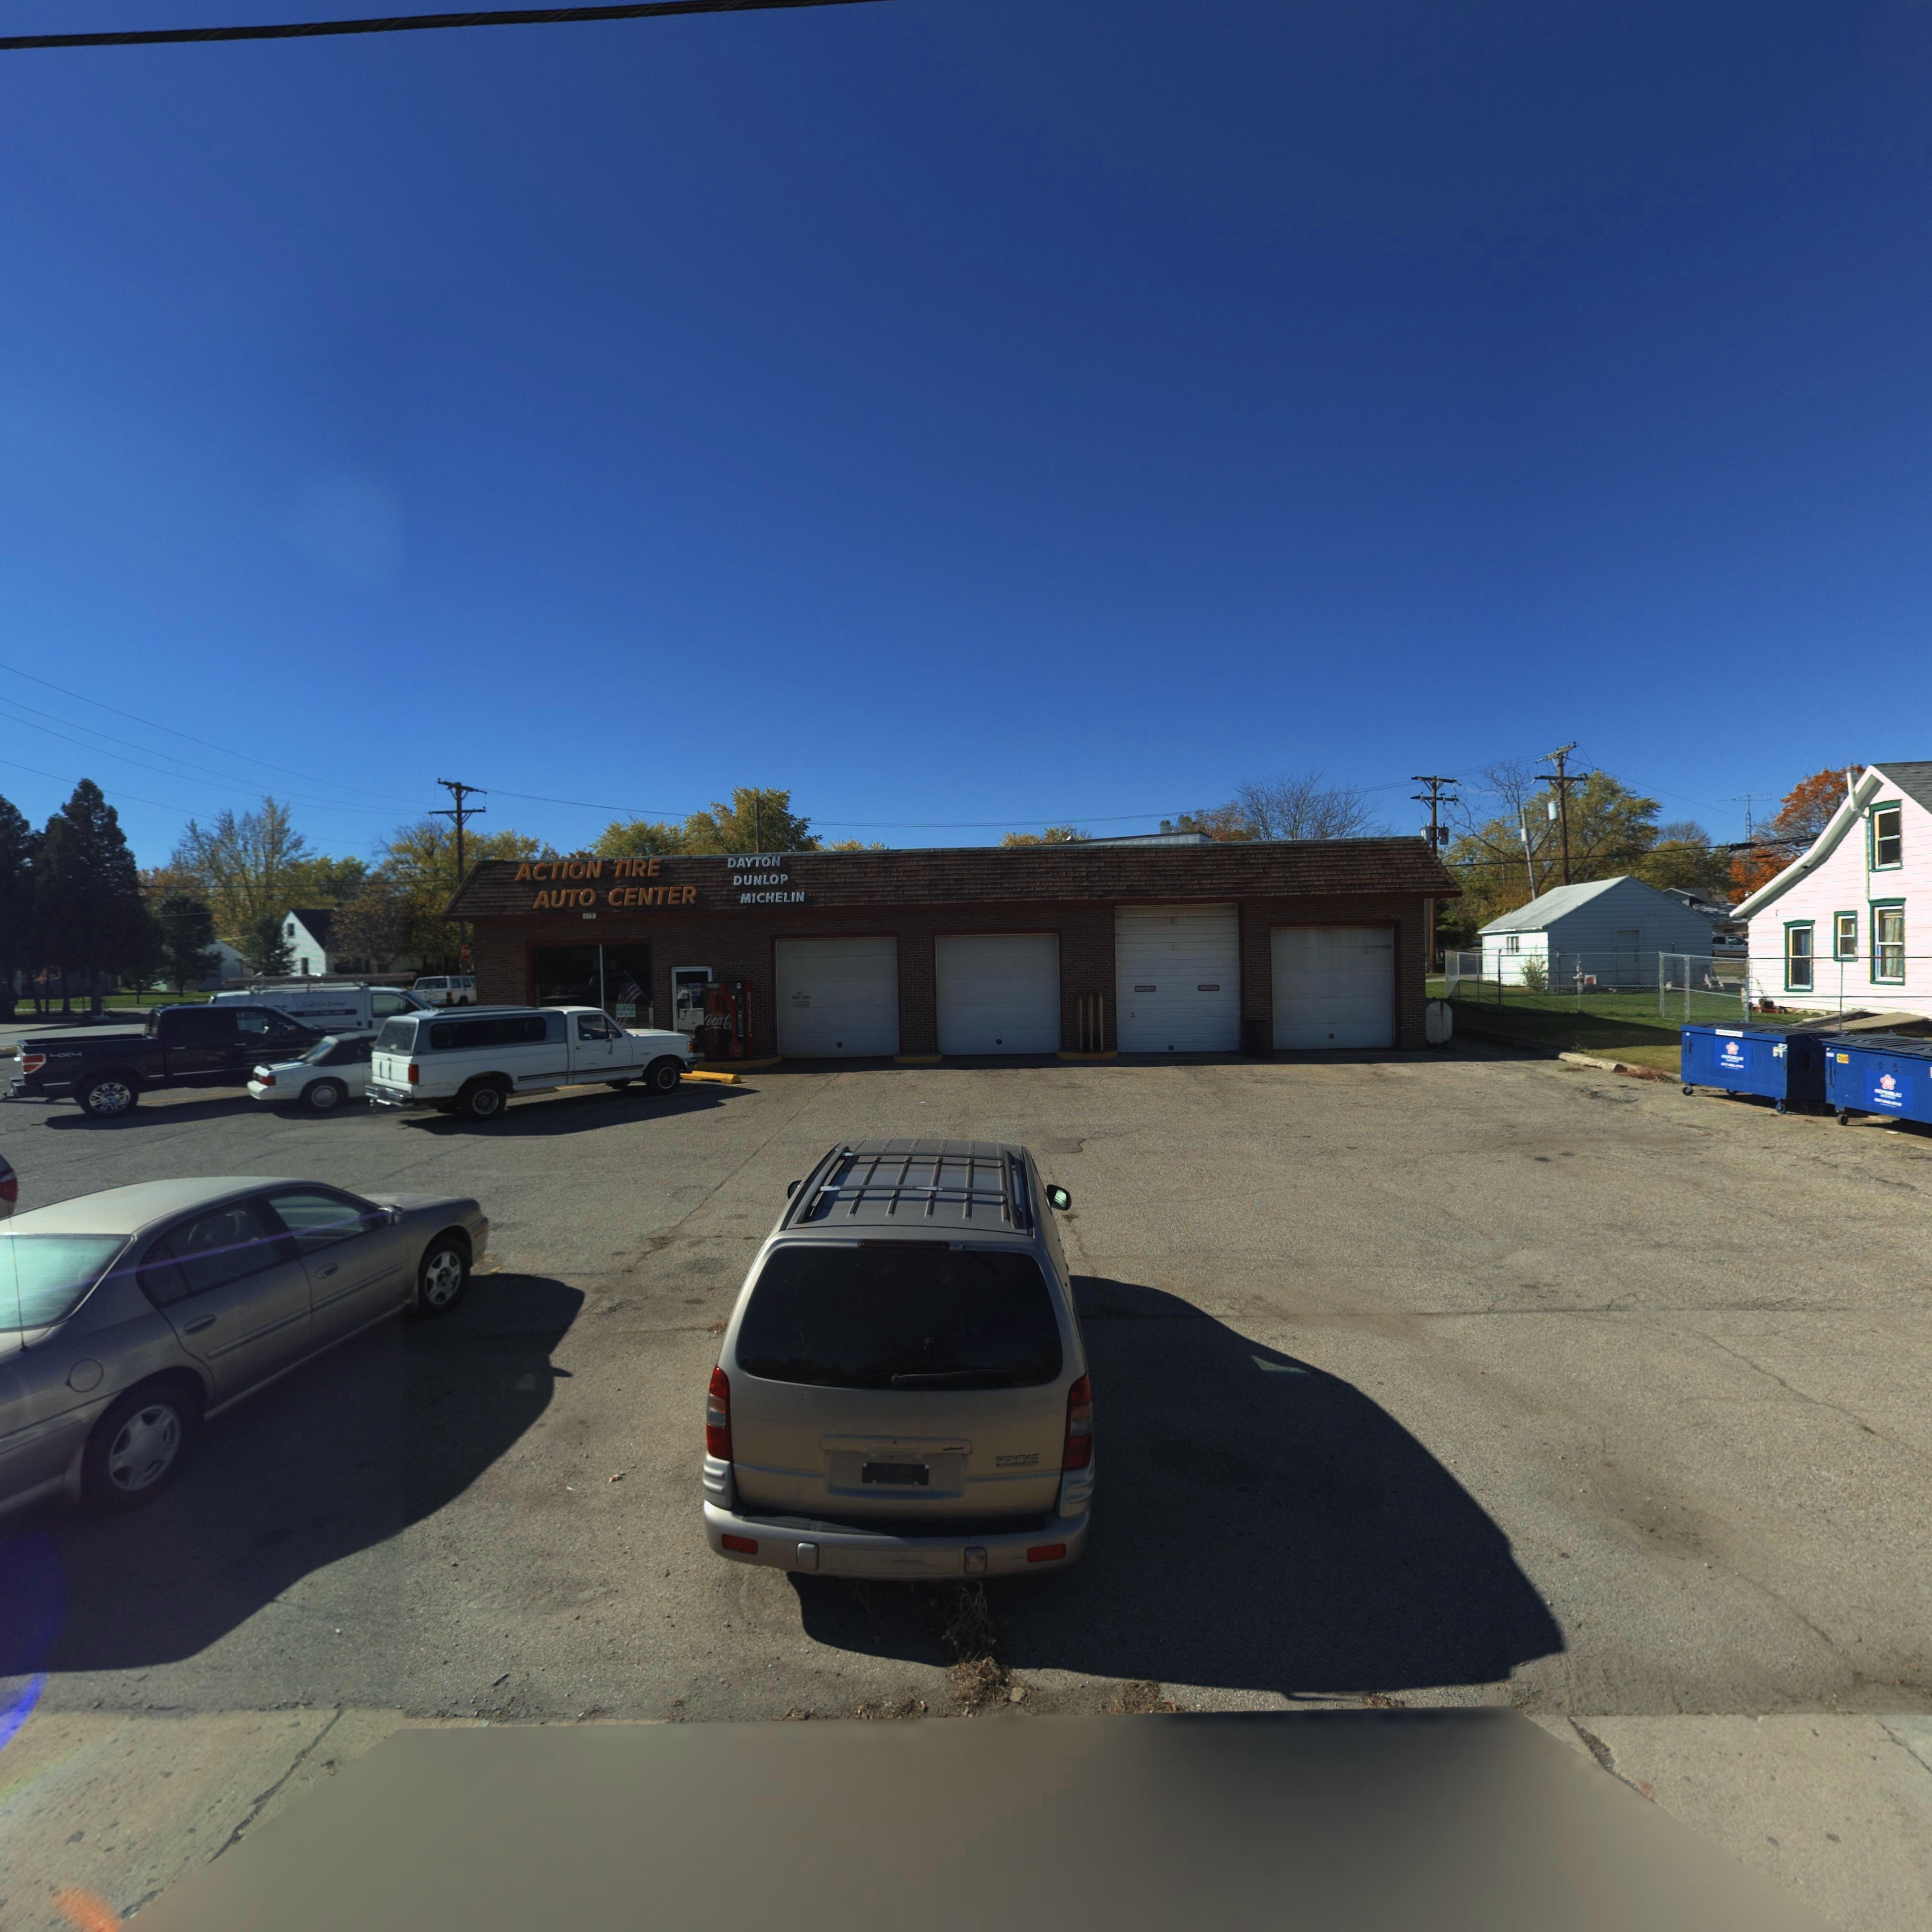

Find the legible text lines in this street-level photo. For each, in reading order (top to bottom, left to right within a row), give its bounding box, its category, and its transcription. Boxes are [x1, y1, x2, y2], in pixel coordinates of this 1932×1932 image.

[512, 857, 664, 882] BusinessName: ACTION TIRE
[531, 885, 699, 909] BusinessName: AUTO CENTER
[584, 913, 593, 918] StreetNumber: 113